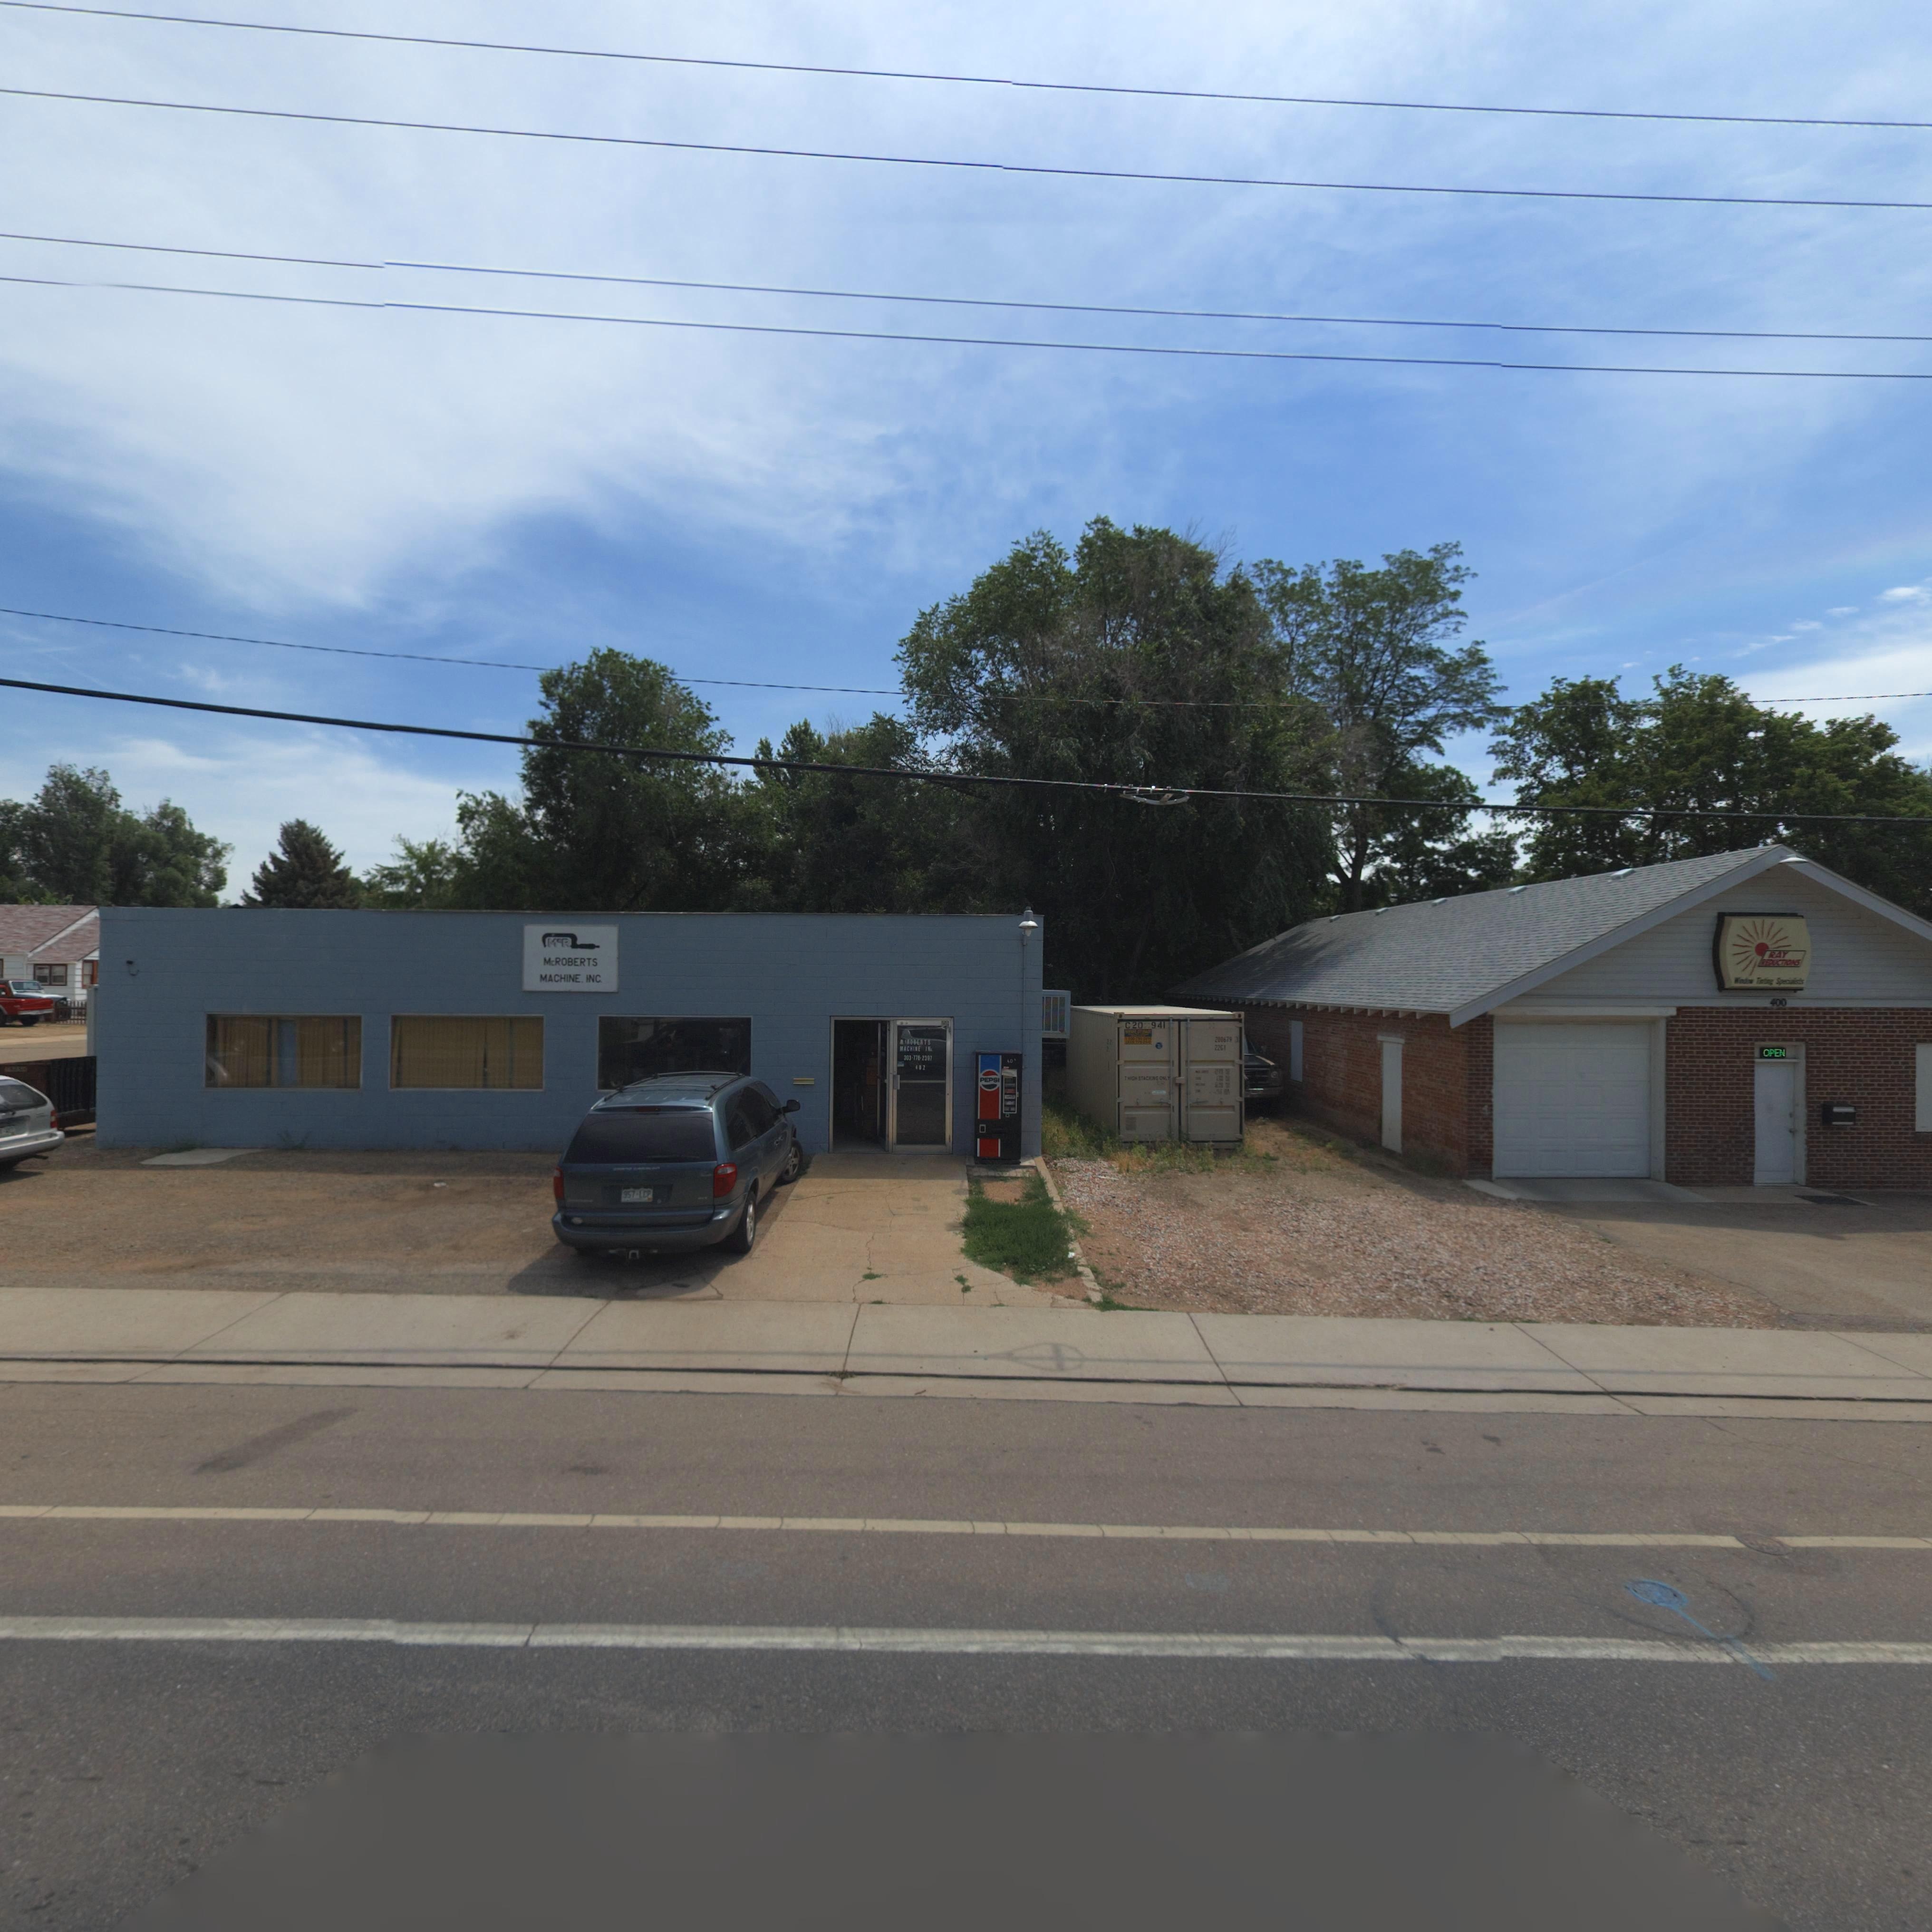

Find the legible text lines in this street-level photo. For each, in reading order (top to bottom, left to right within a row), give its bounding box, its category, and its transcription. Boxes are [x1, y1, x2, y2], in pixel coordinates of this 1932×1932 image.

[547, 938, 570, 947] BusinessName: M*R
[1768, 951, 1789, 958] BusinessName: RAY
[543, 956, 598, 966] BusinessName: McROBERTS
[1760, 958, 1802, 966] BusinessName: RED*CT*ONS
[539, 973, 601, 983] BusinessName: MACHINE. INC
[1769, 997, 1787, 1006] StreetNumber: 400
[899, 1039, 930, 1045] BusinessName: **ROBERTS
[899, 1045, 933, 1052] BusinessName: *ACHI*E I**
[915, 1064, 925, 1070] StreetNumber: *02